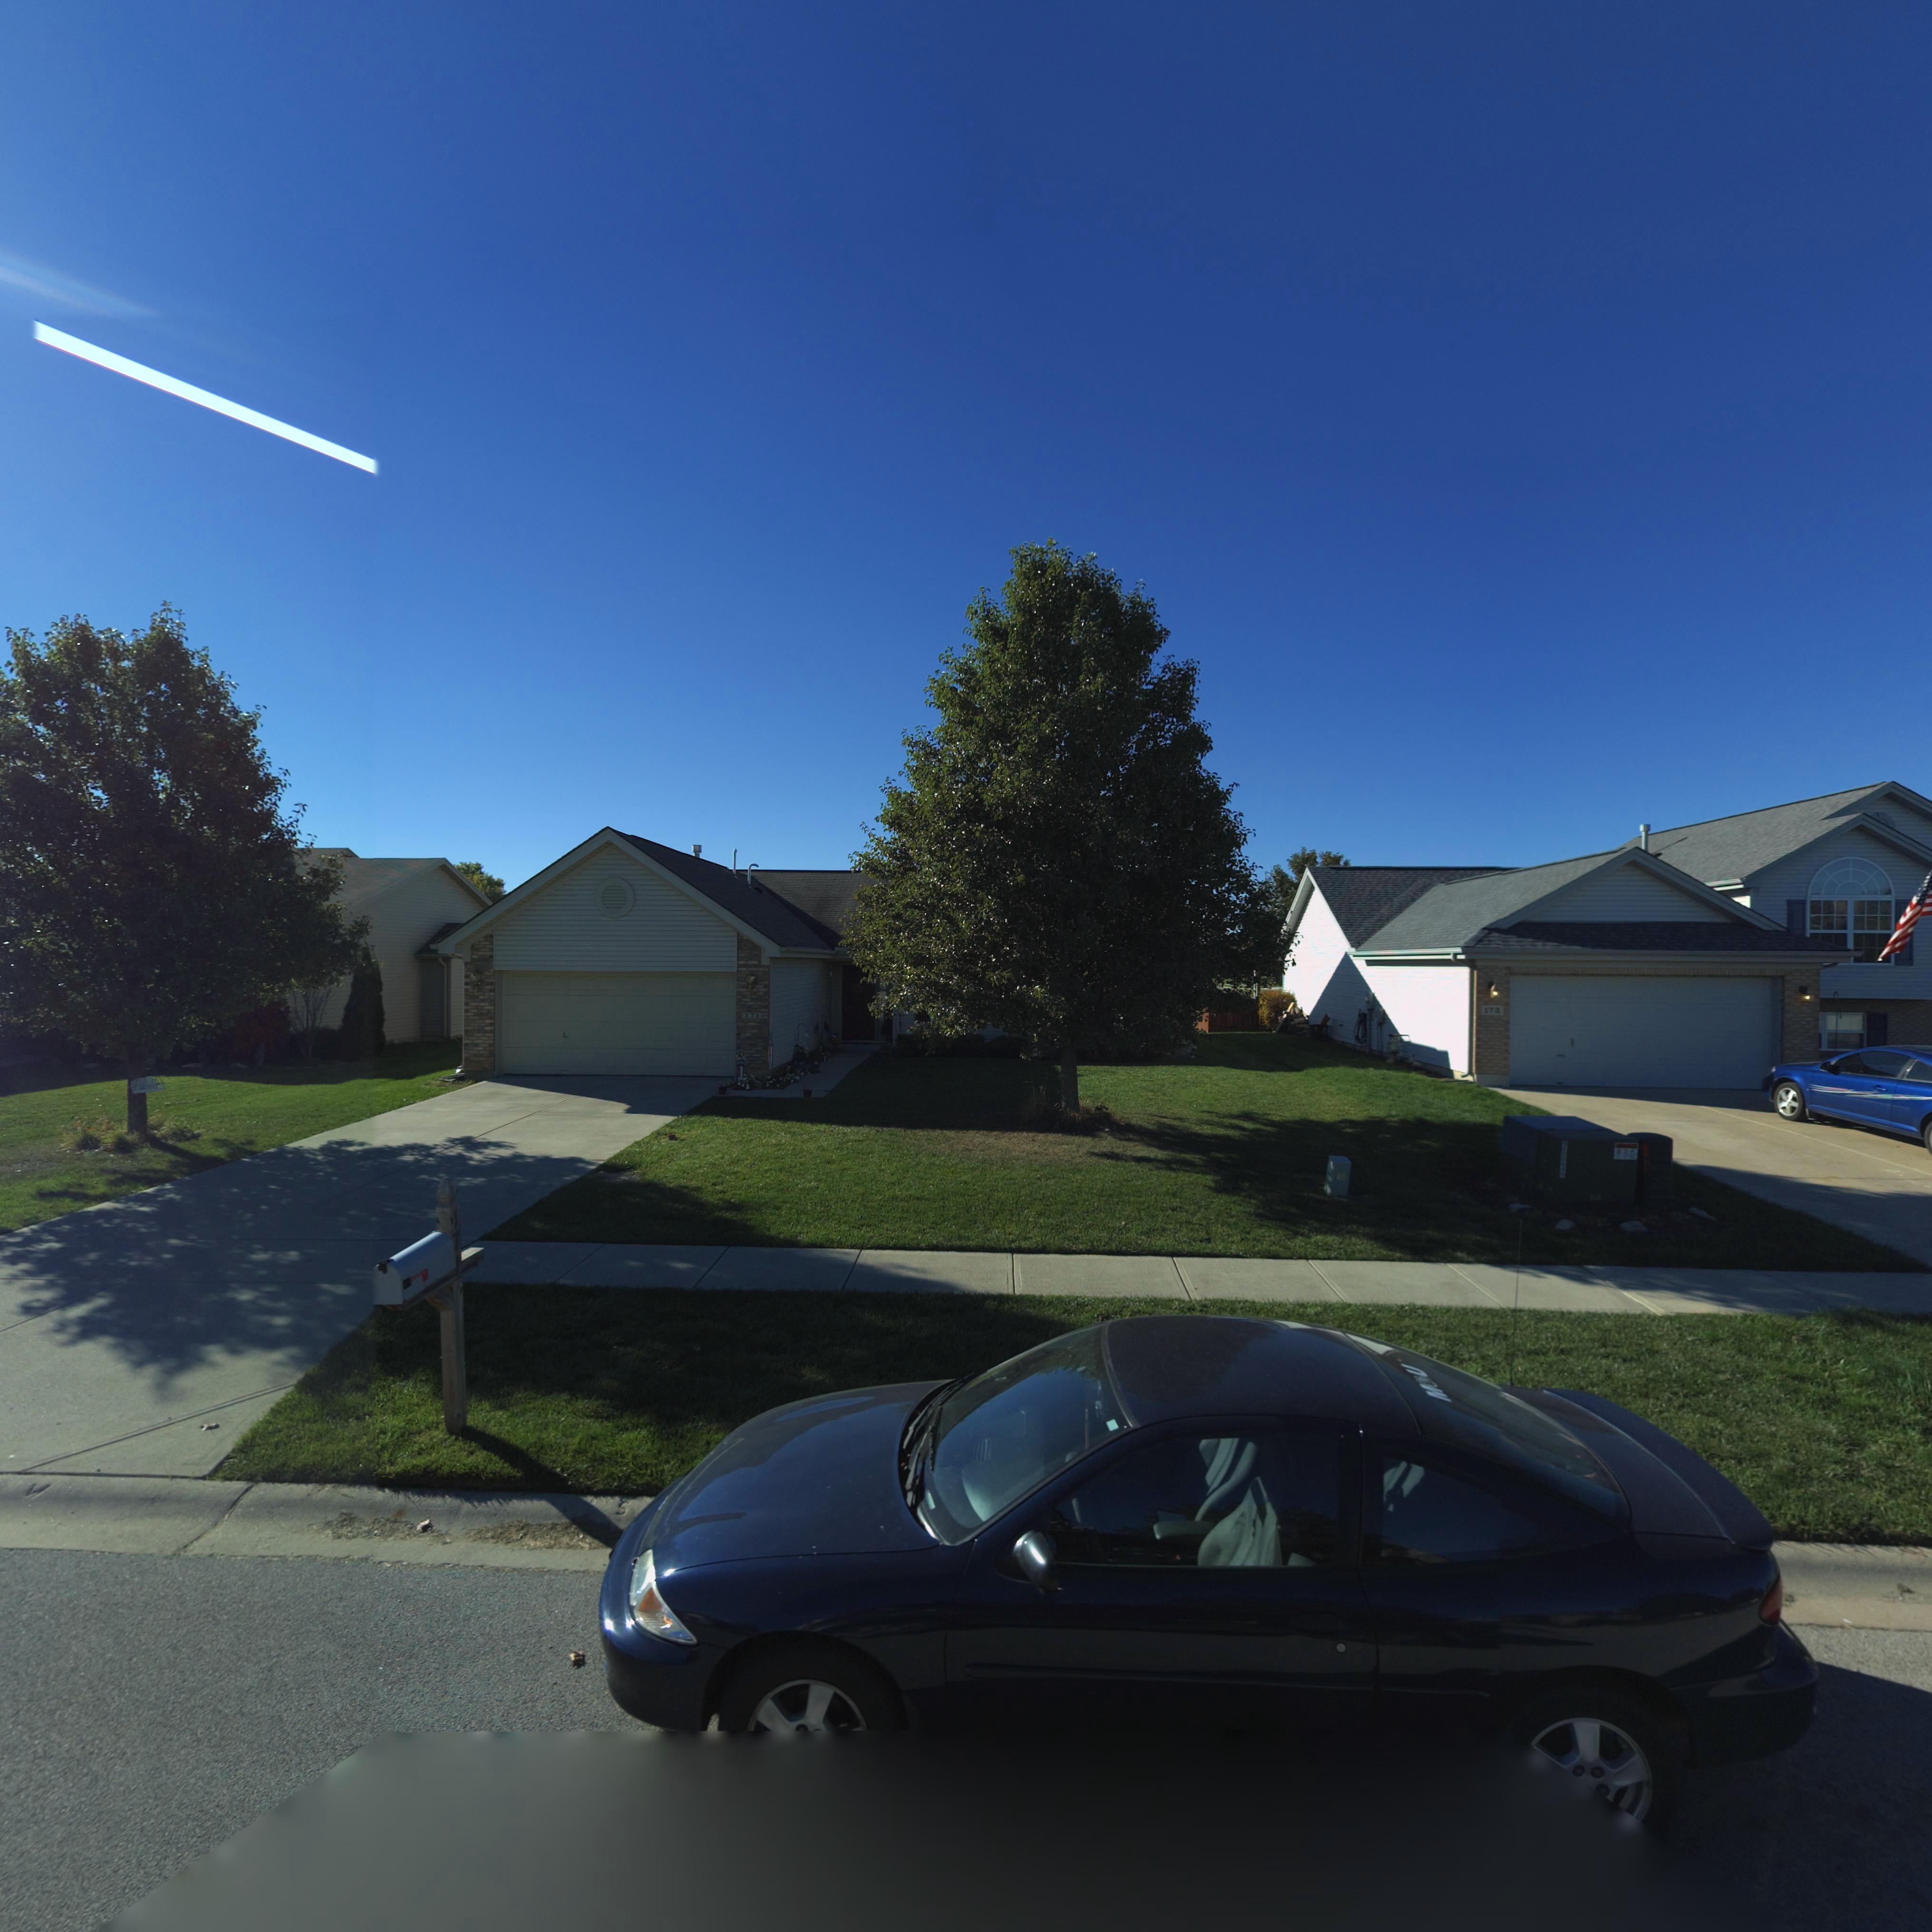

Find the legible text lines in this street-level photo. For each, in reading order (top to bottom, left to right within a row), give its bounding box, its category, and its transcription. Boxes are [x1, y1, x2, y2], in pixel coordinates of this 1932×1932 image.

[1483, 1006, 1501, 1014] StreetNumber: 173
[744, 1012, 759, 1019] StreetNumber: 171
[452, 1207, 461, 1254] StreetNumber: 17